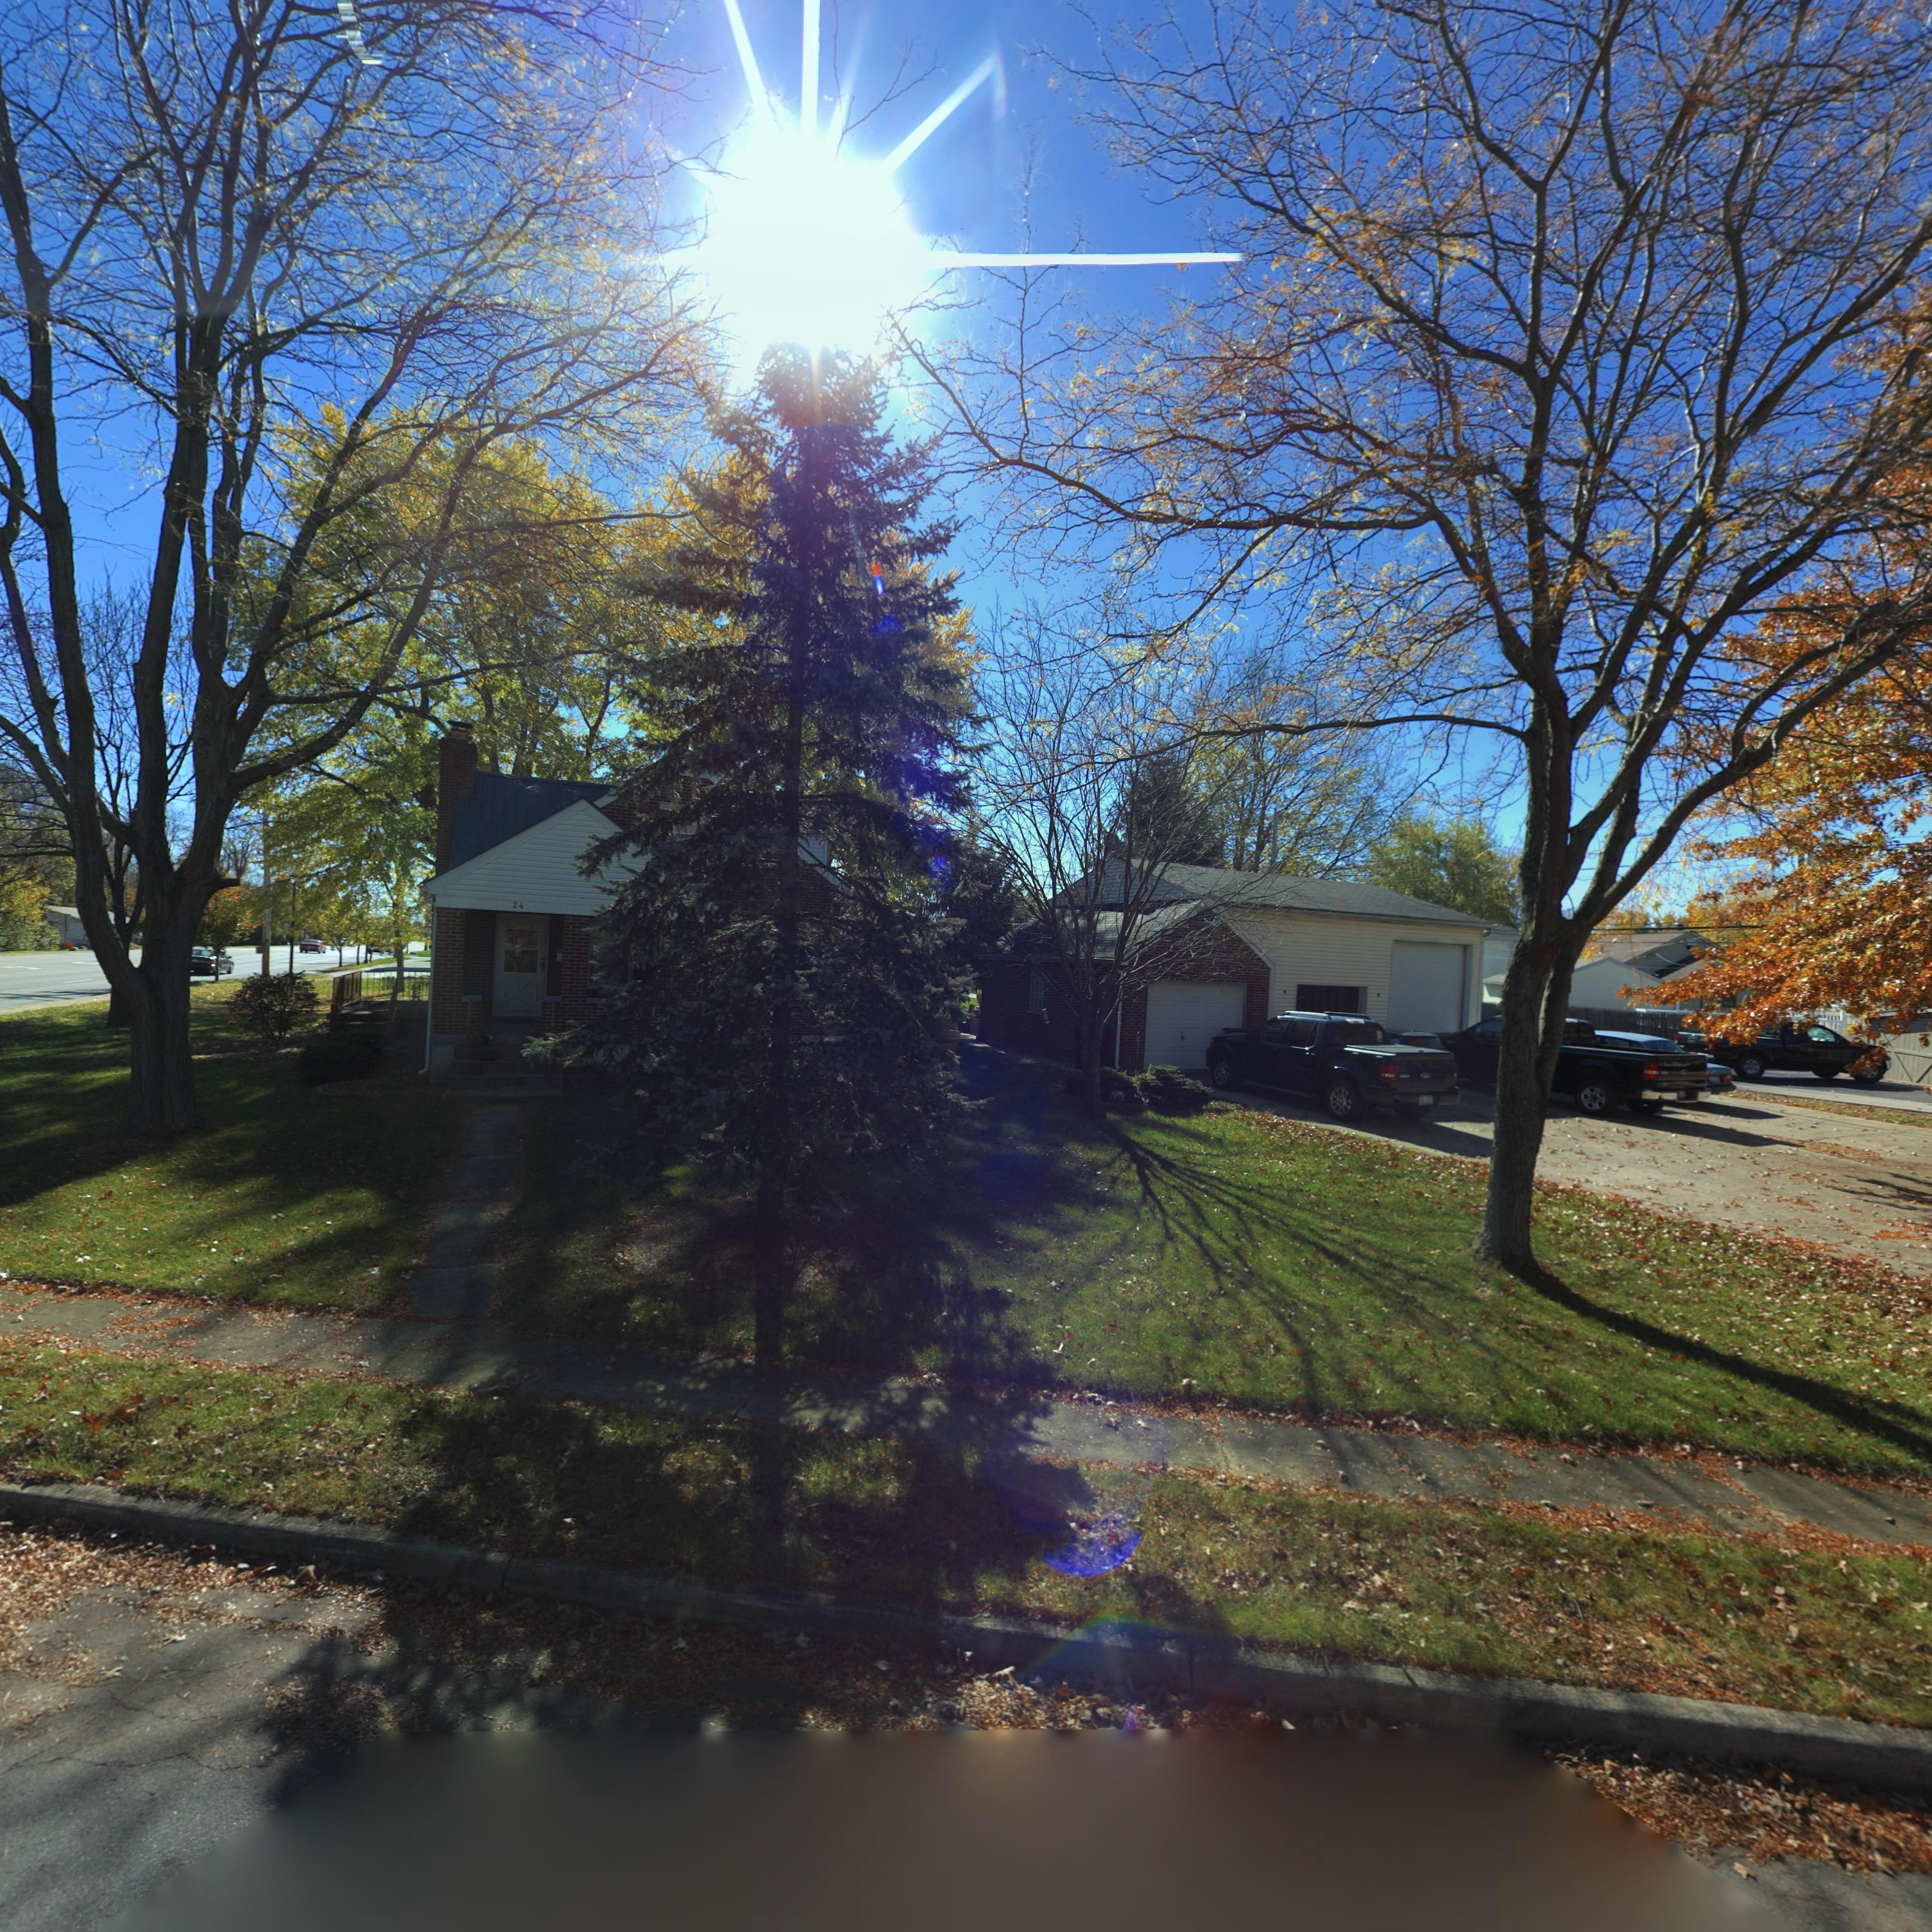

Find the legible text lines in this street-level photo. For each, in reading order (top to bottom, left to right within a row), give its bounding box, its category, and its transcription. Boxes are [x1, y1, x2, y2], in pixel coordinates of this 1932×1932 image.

[512, 901, 524, 909] StreetNumber: 24